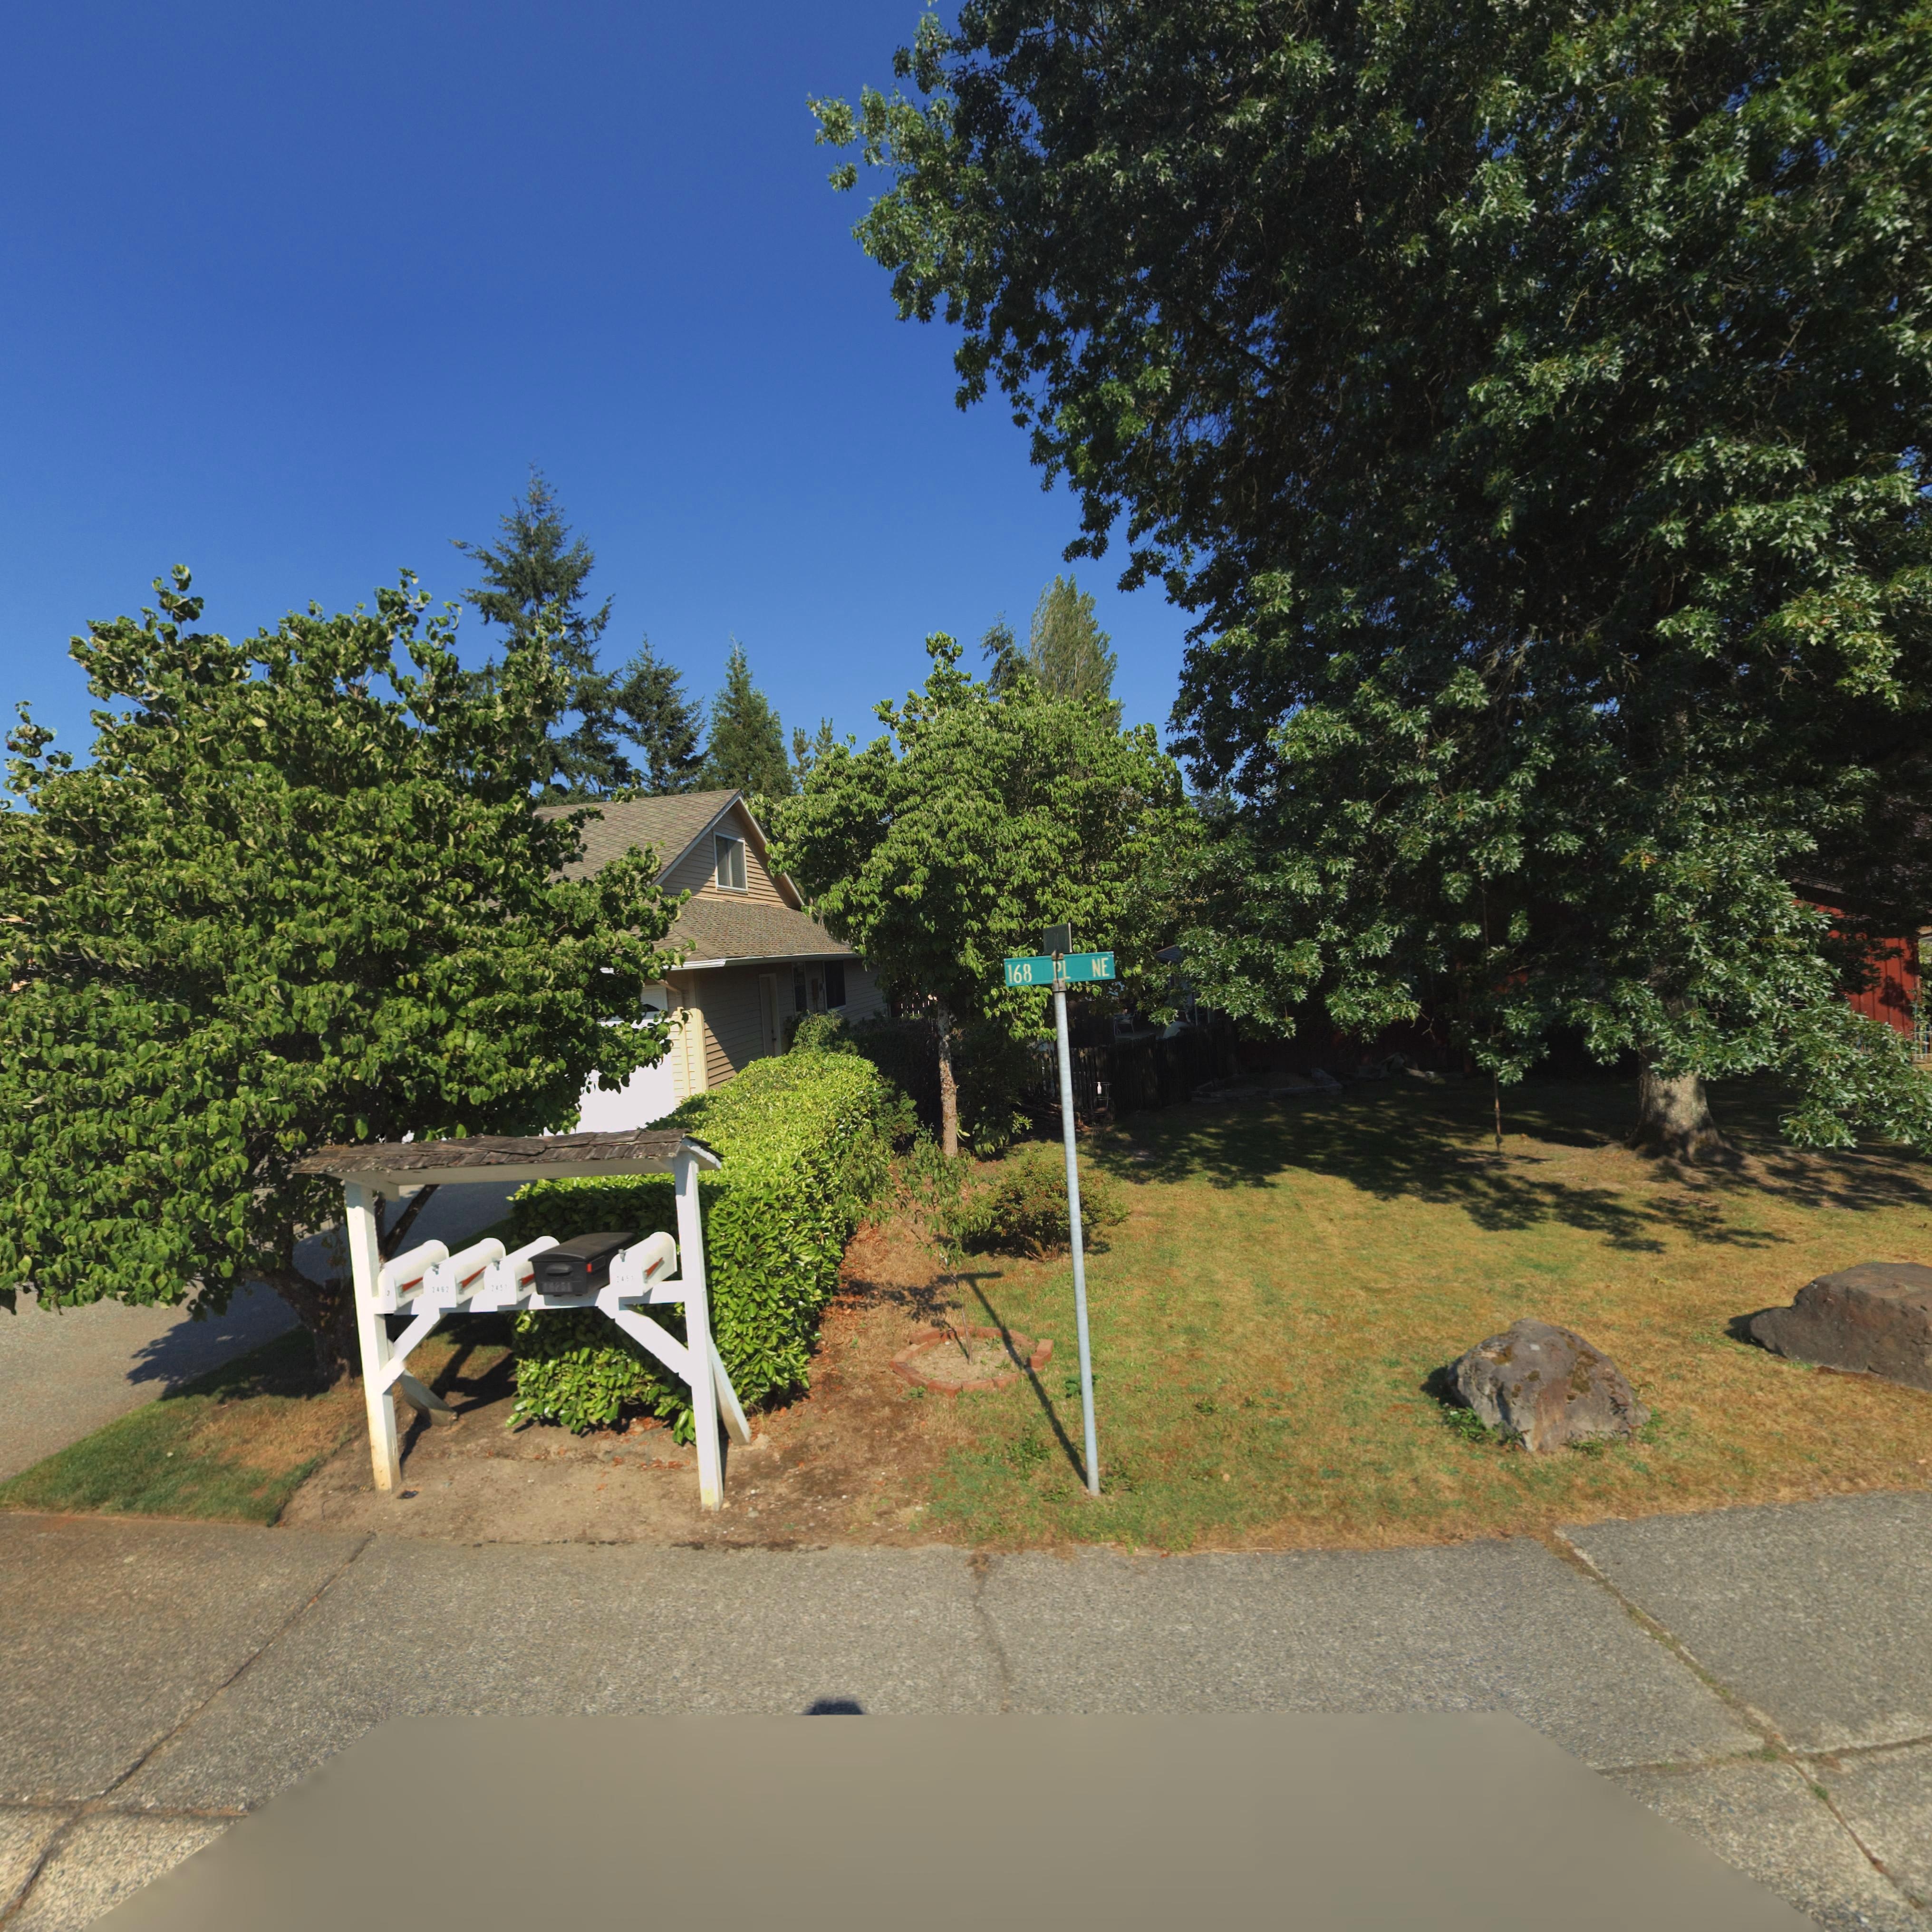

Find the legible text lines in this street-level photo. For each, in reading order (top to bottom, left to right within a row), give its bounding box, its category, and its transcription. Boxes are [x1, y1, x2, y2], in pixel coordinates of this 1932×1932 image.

[1005, 956, 1111, 984] StreetName: 168 PL NE
[616, 1275, 634, 1284] StreetNumber: 2451
[430, 1285, 450, 1293] StreetNumber: 2452
[489, 1283, 509, 1292] StreetNumber: 2457